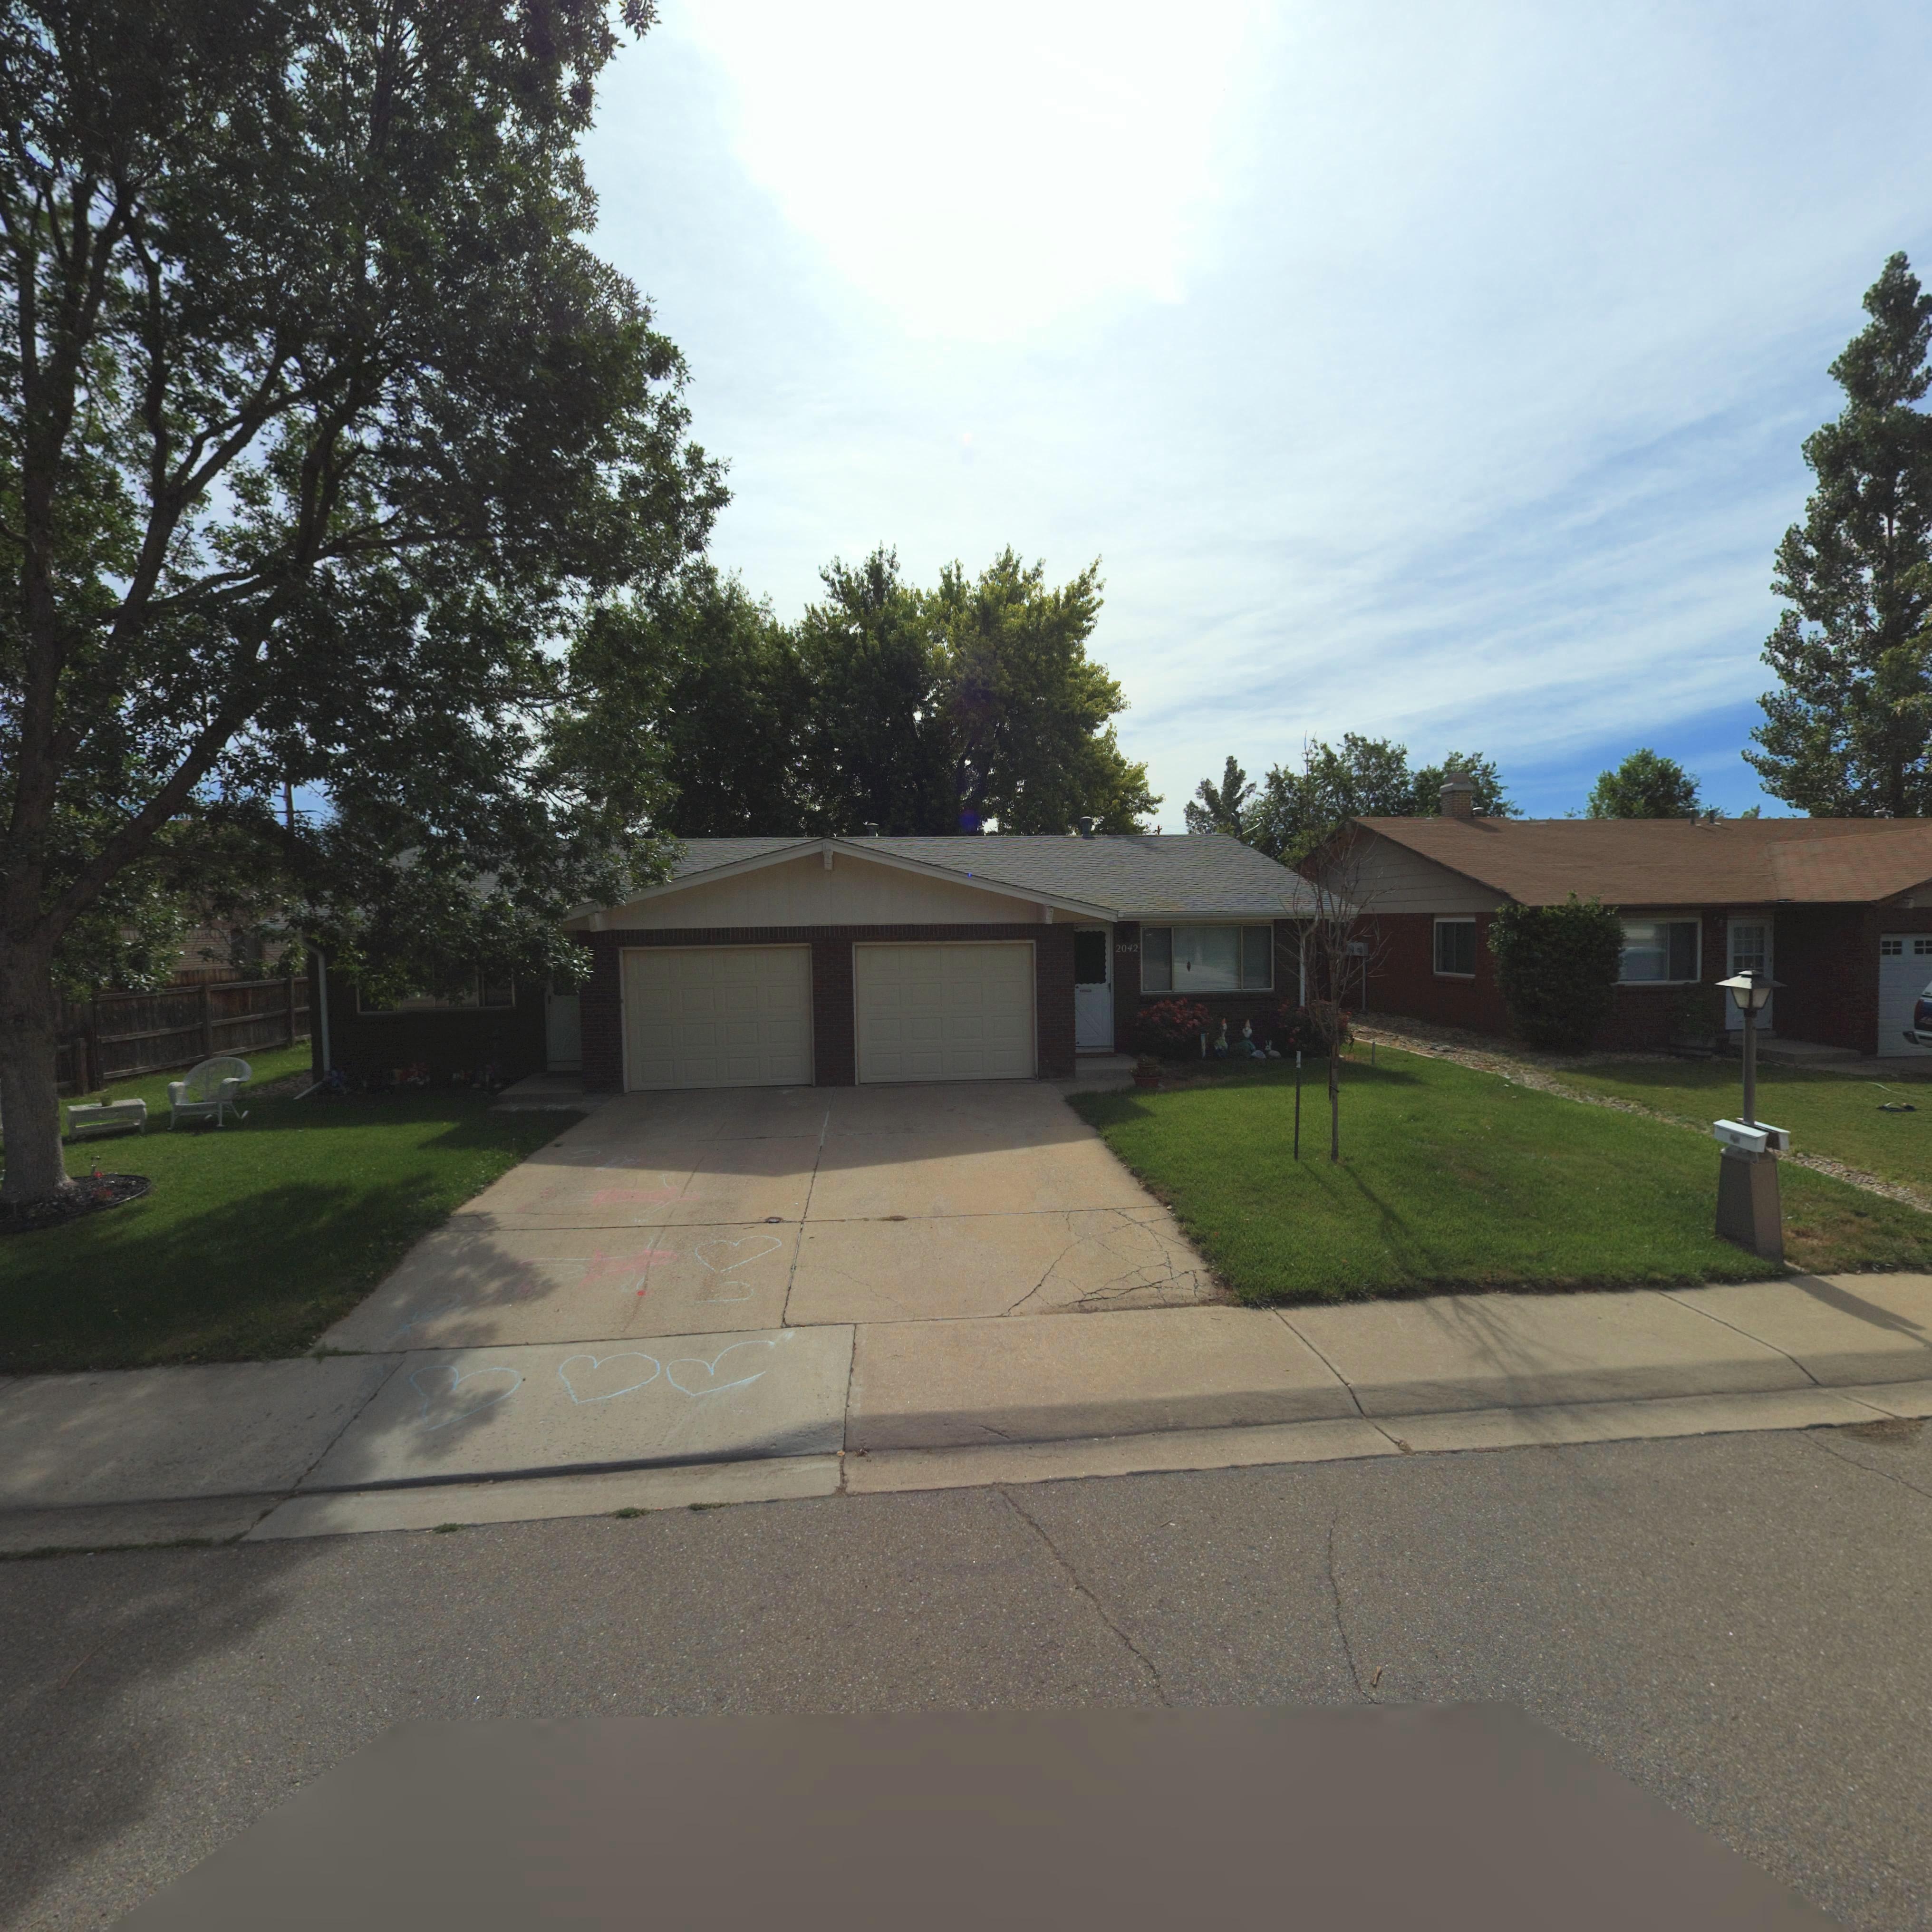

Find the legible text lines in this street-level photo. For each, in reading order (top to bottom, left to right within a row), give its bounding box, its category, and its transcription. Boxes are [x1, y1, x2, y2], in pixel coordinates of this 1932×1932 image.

[1115, 944, 1138, 952] StreetNumber: 2042